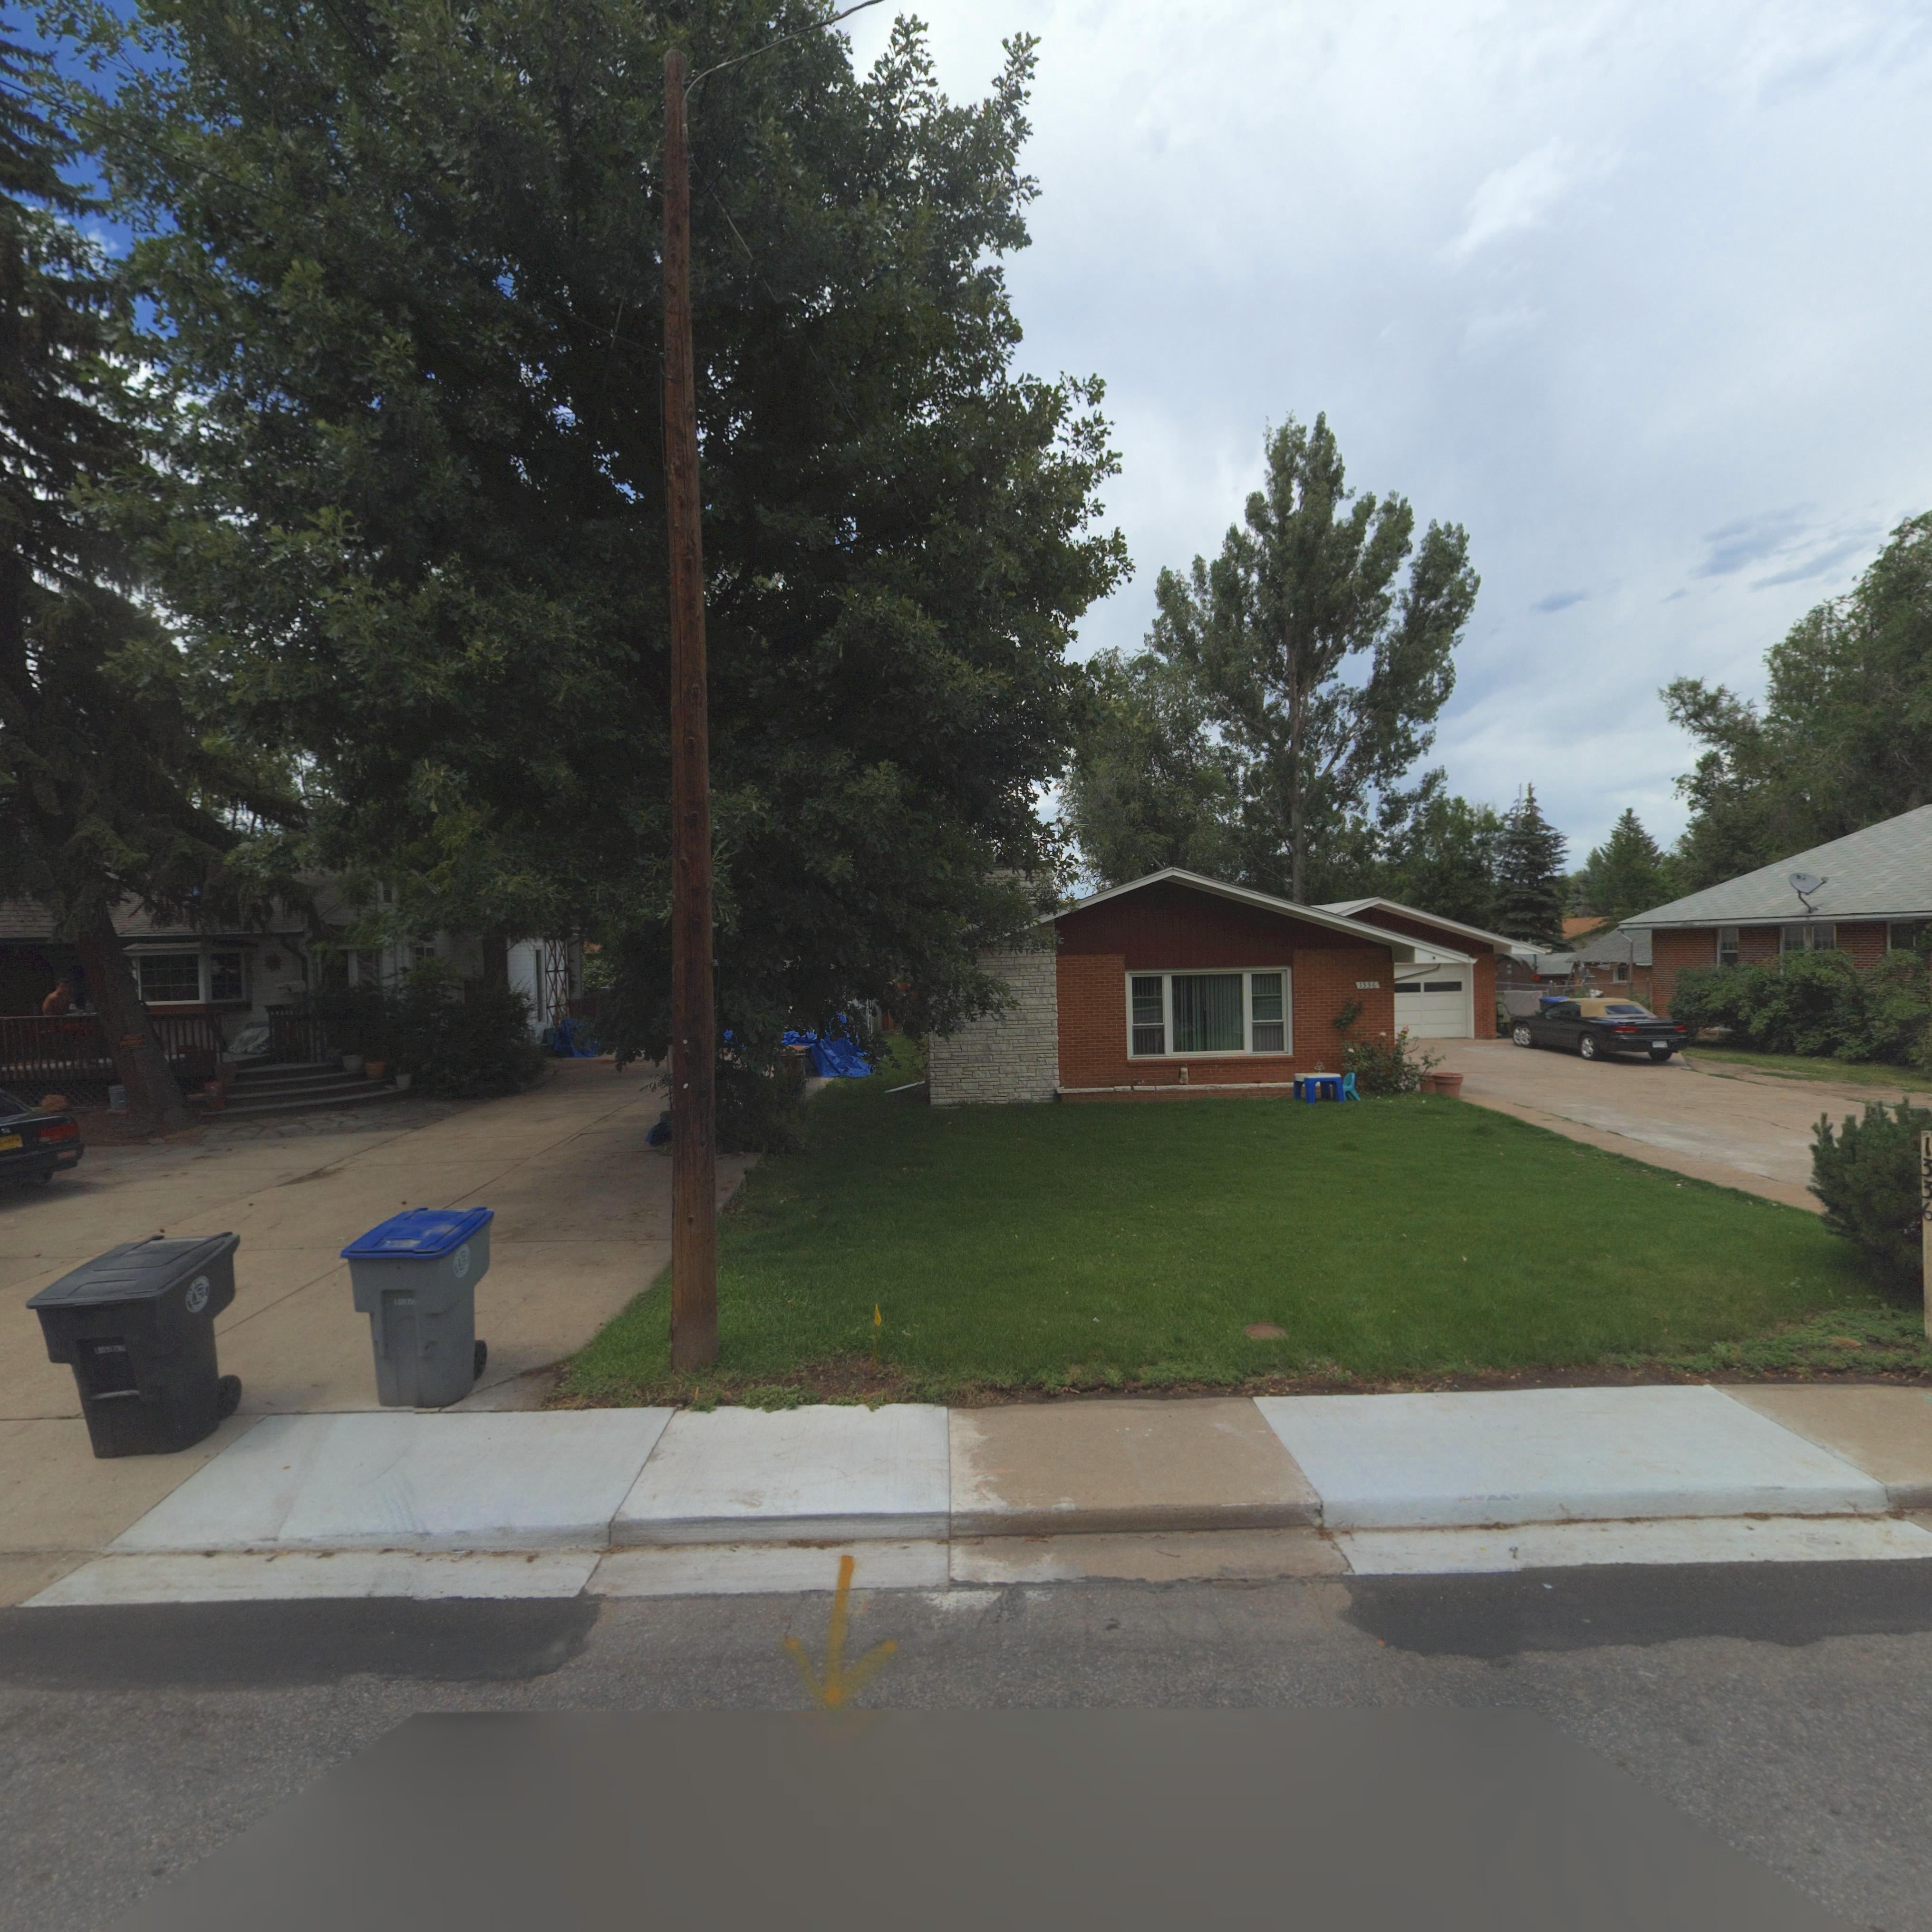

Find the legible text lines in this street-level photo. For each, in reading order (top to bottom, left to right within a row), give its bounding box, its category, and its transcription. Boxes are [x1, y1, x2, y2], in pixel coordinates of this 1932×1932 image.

[1358, 982, 1377, 988] StreetNumber: 1336
[1921, 1136, 1931, 1221] StreetNumber: 1***